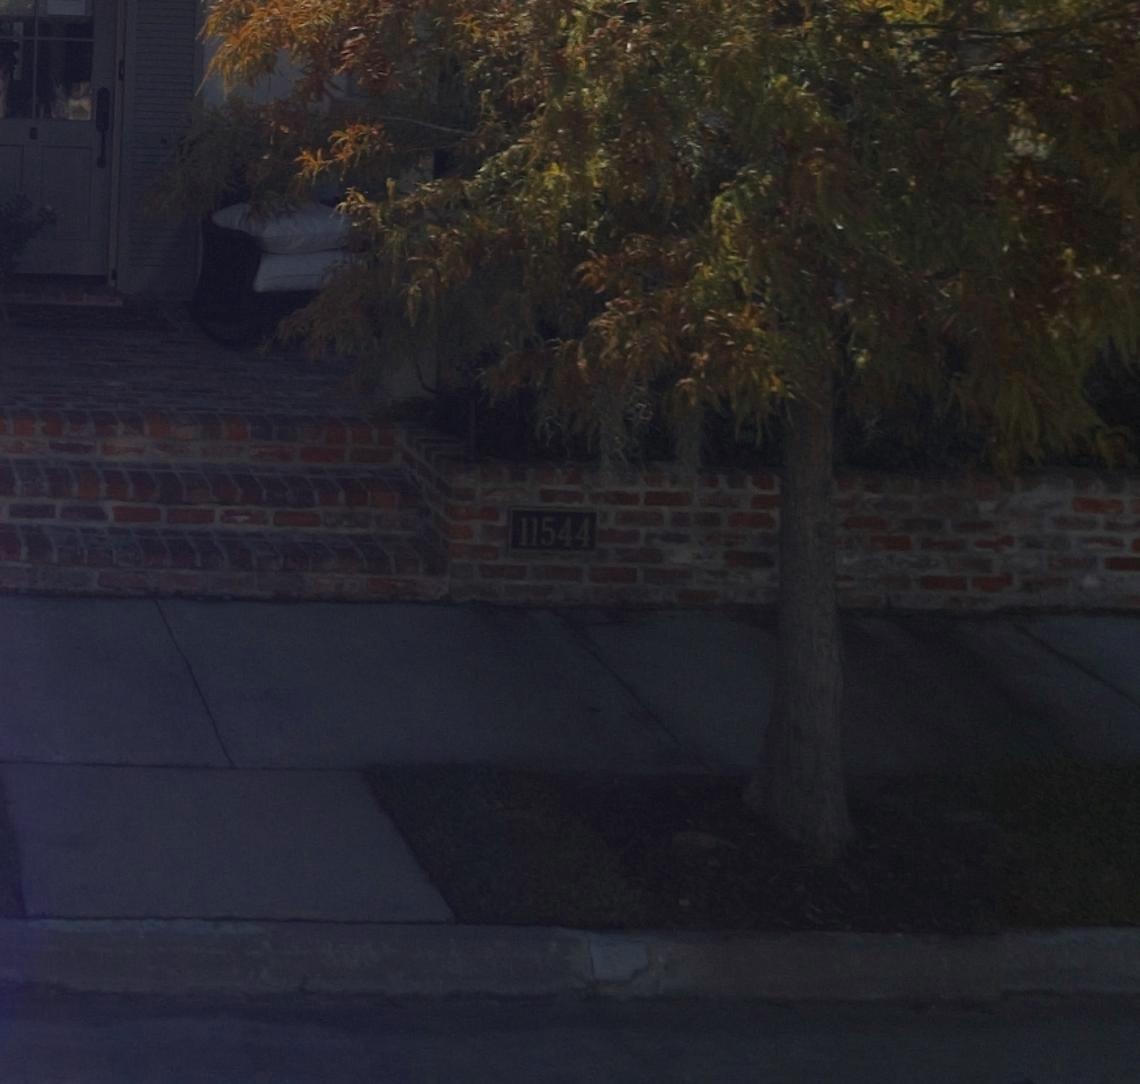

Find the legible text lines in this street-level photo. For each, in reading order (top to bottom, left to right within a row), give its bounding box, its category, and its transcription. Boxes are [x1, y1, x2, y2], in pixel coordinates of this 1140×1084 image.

[516, 515, 593, 548] StreetNumber: 11544